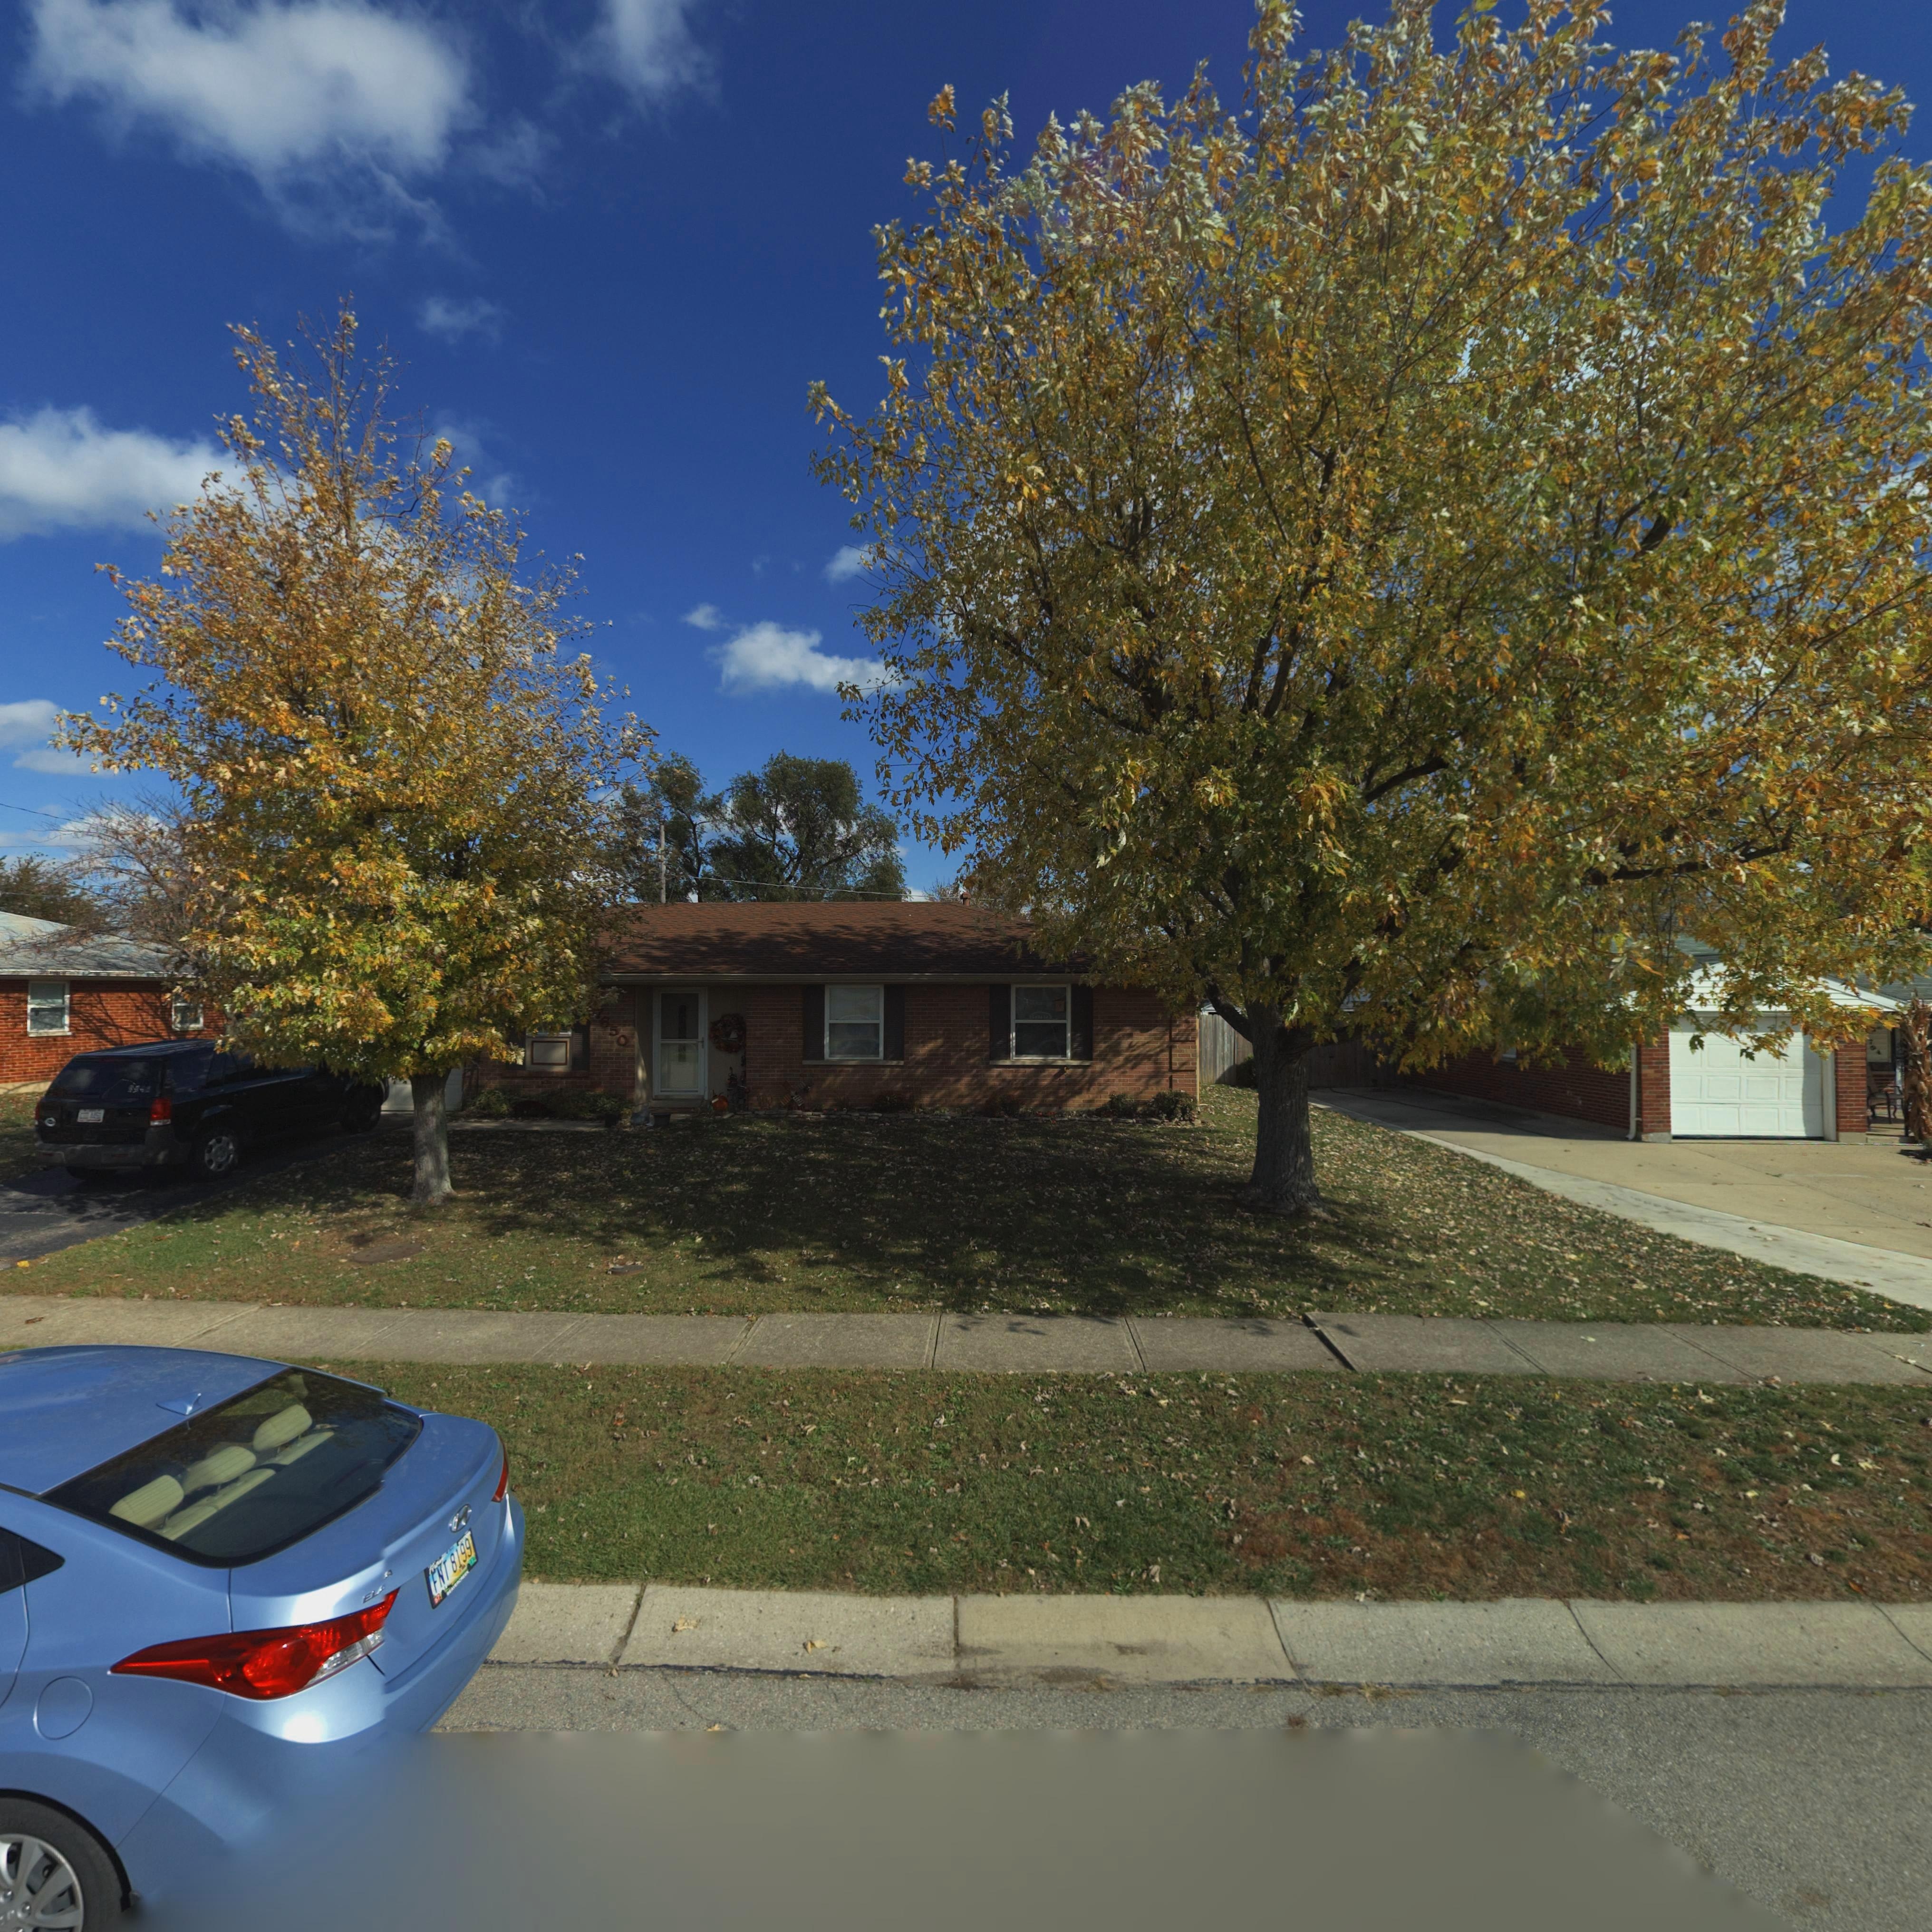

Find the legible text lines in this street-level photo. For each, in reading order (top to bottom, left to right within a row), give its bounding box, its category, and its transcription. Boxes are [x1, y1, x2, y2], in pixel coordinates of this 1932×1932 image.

[593, 1007, 630, 1048] StreetNumber: 7650
[1867, 1039, 1882, 1056] StreetNumber: 7*4